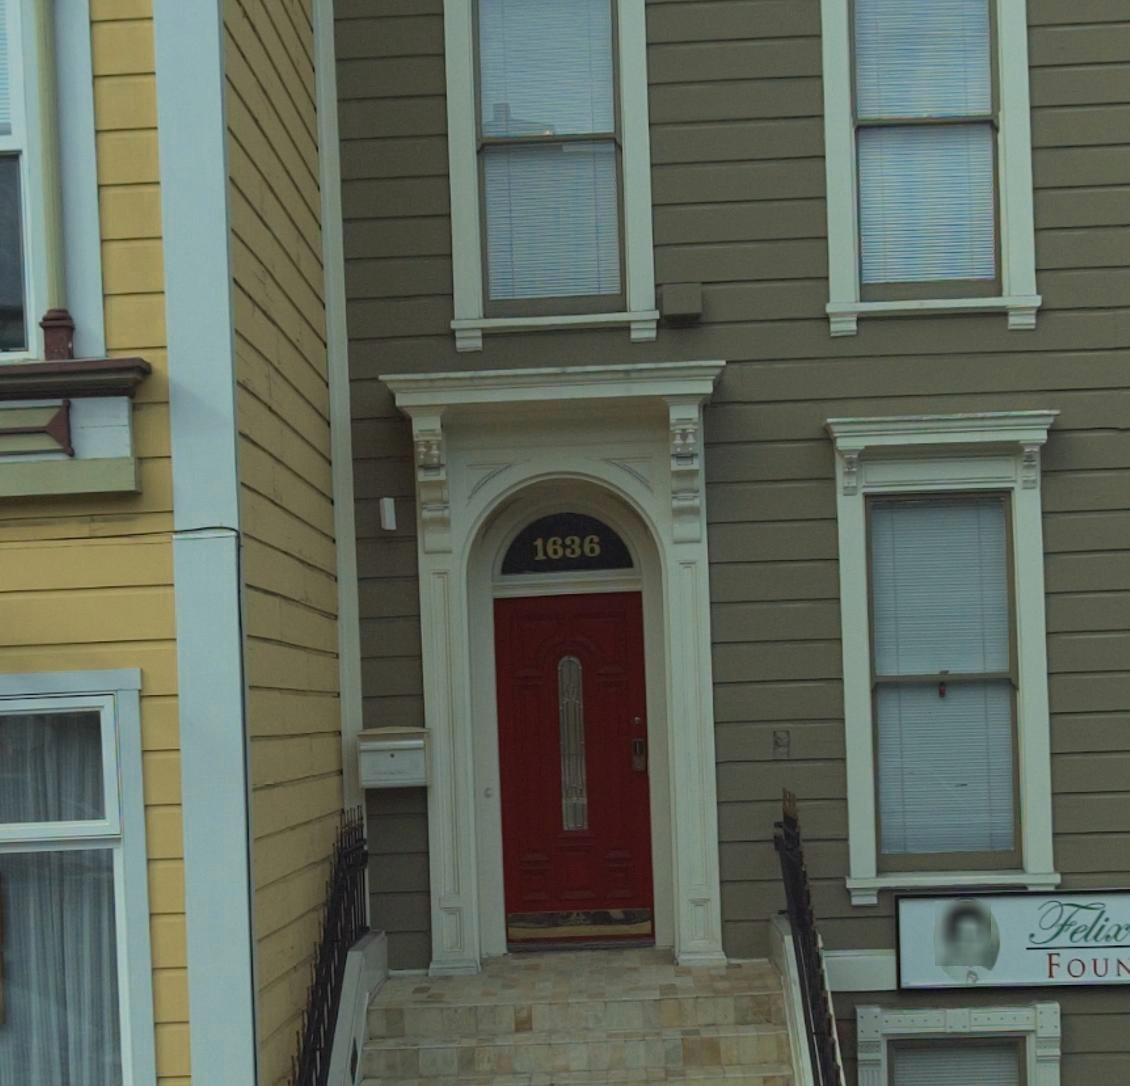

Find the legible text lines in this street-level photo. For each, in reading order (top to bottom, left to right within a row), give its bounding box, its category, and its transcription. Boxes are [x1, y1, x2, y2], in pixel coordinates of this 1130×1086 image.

[531, 532, 603, 563] StreetNumber: 1636
[1024, 895, 1130, 949] None: Felix
[1043, 949, 1113, 981] None: FOU